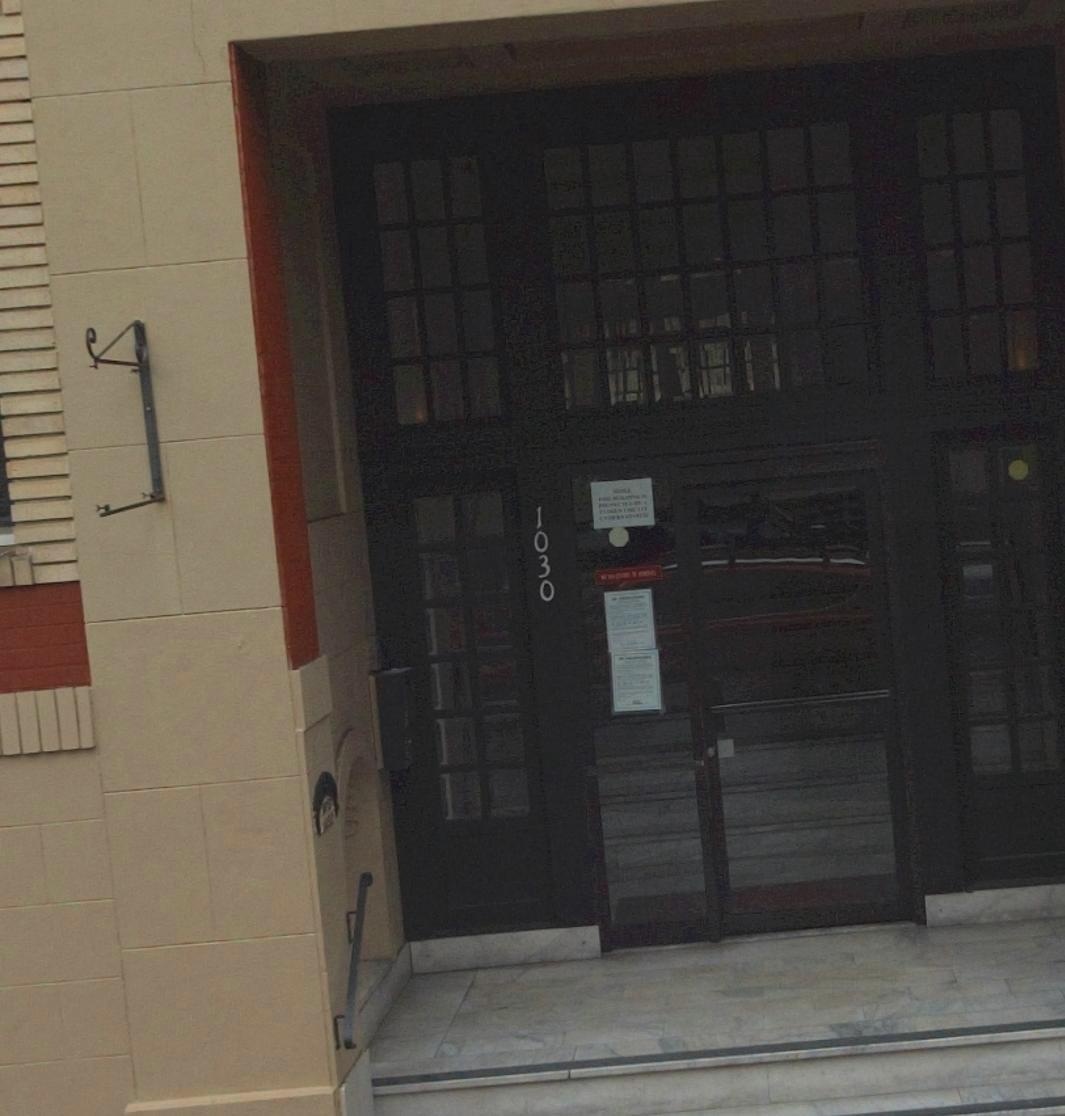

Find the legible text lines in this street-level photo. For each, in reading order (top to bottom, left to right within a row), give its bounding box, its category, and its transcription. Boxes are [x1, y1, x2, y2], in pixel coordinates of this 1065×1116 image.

[528, 502, 559, 604] StreetNumber: 1030